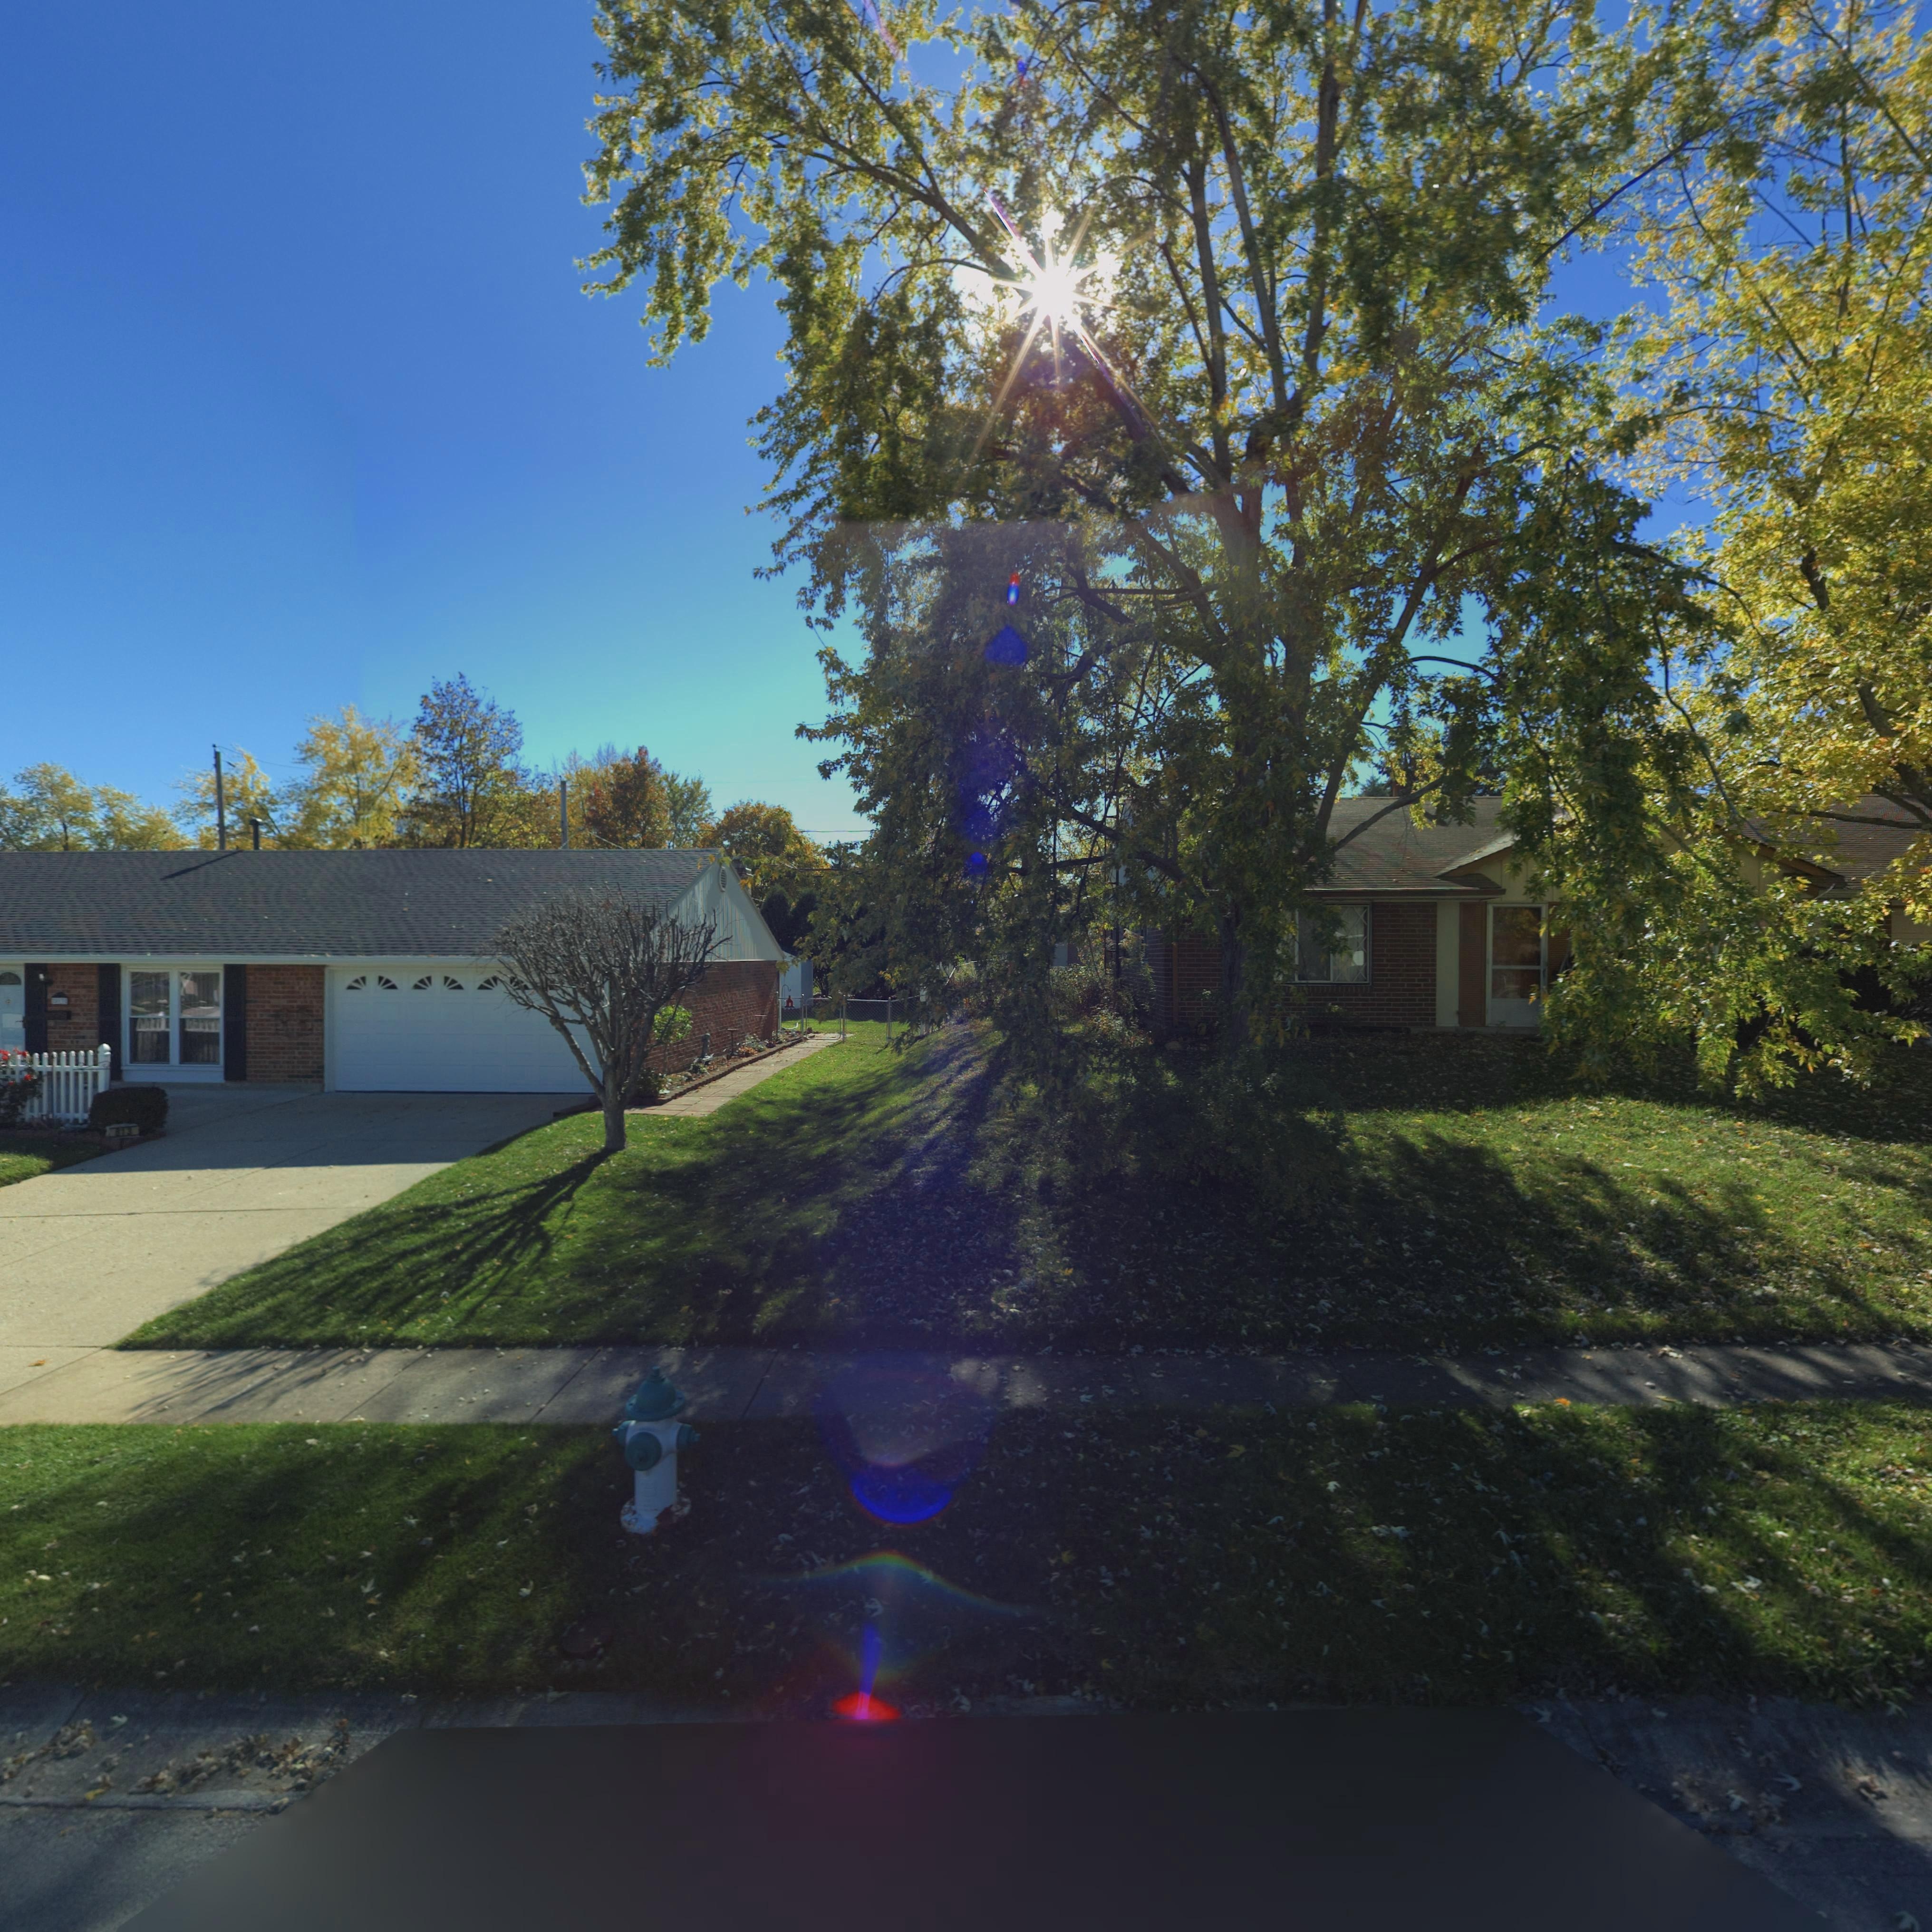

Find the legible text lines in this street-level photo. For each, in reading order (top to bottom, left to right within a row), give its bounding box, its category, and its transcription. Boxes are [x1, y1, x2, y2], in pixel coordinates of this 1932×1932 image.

[115, 1126, 132, 1137] StreetNumber: 813